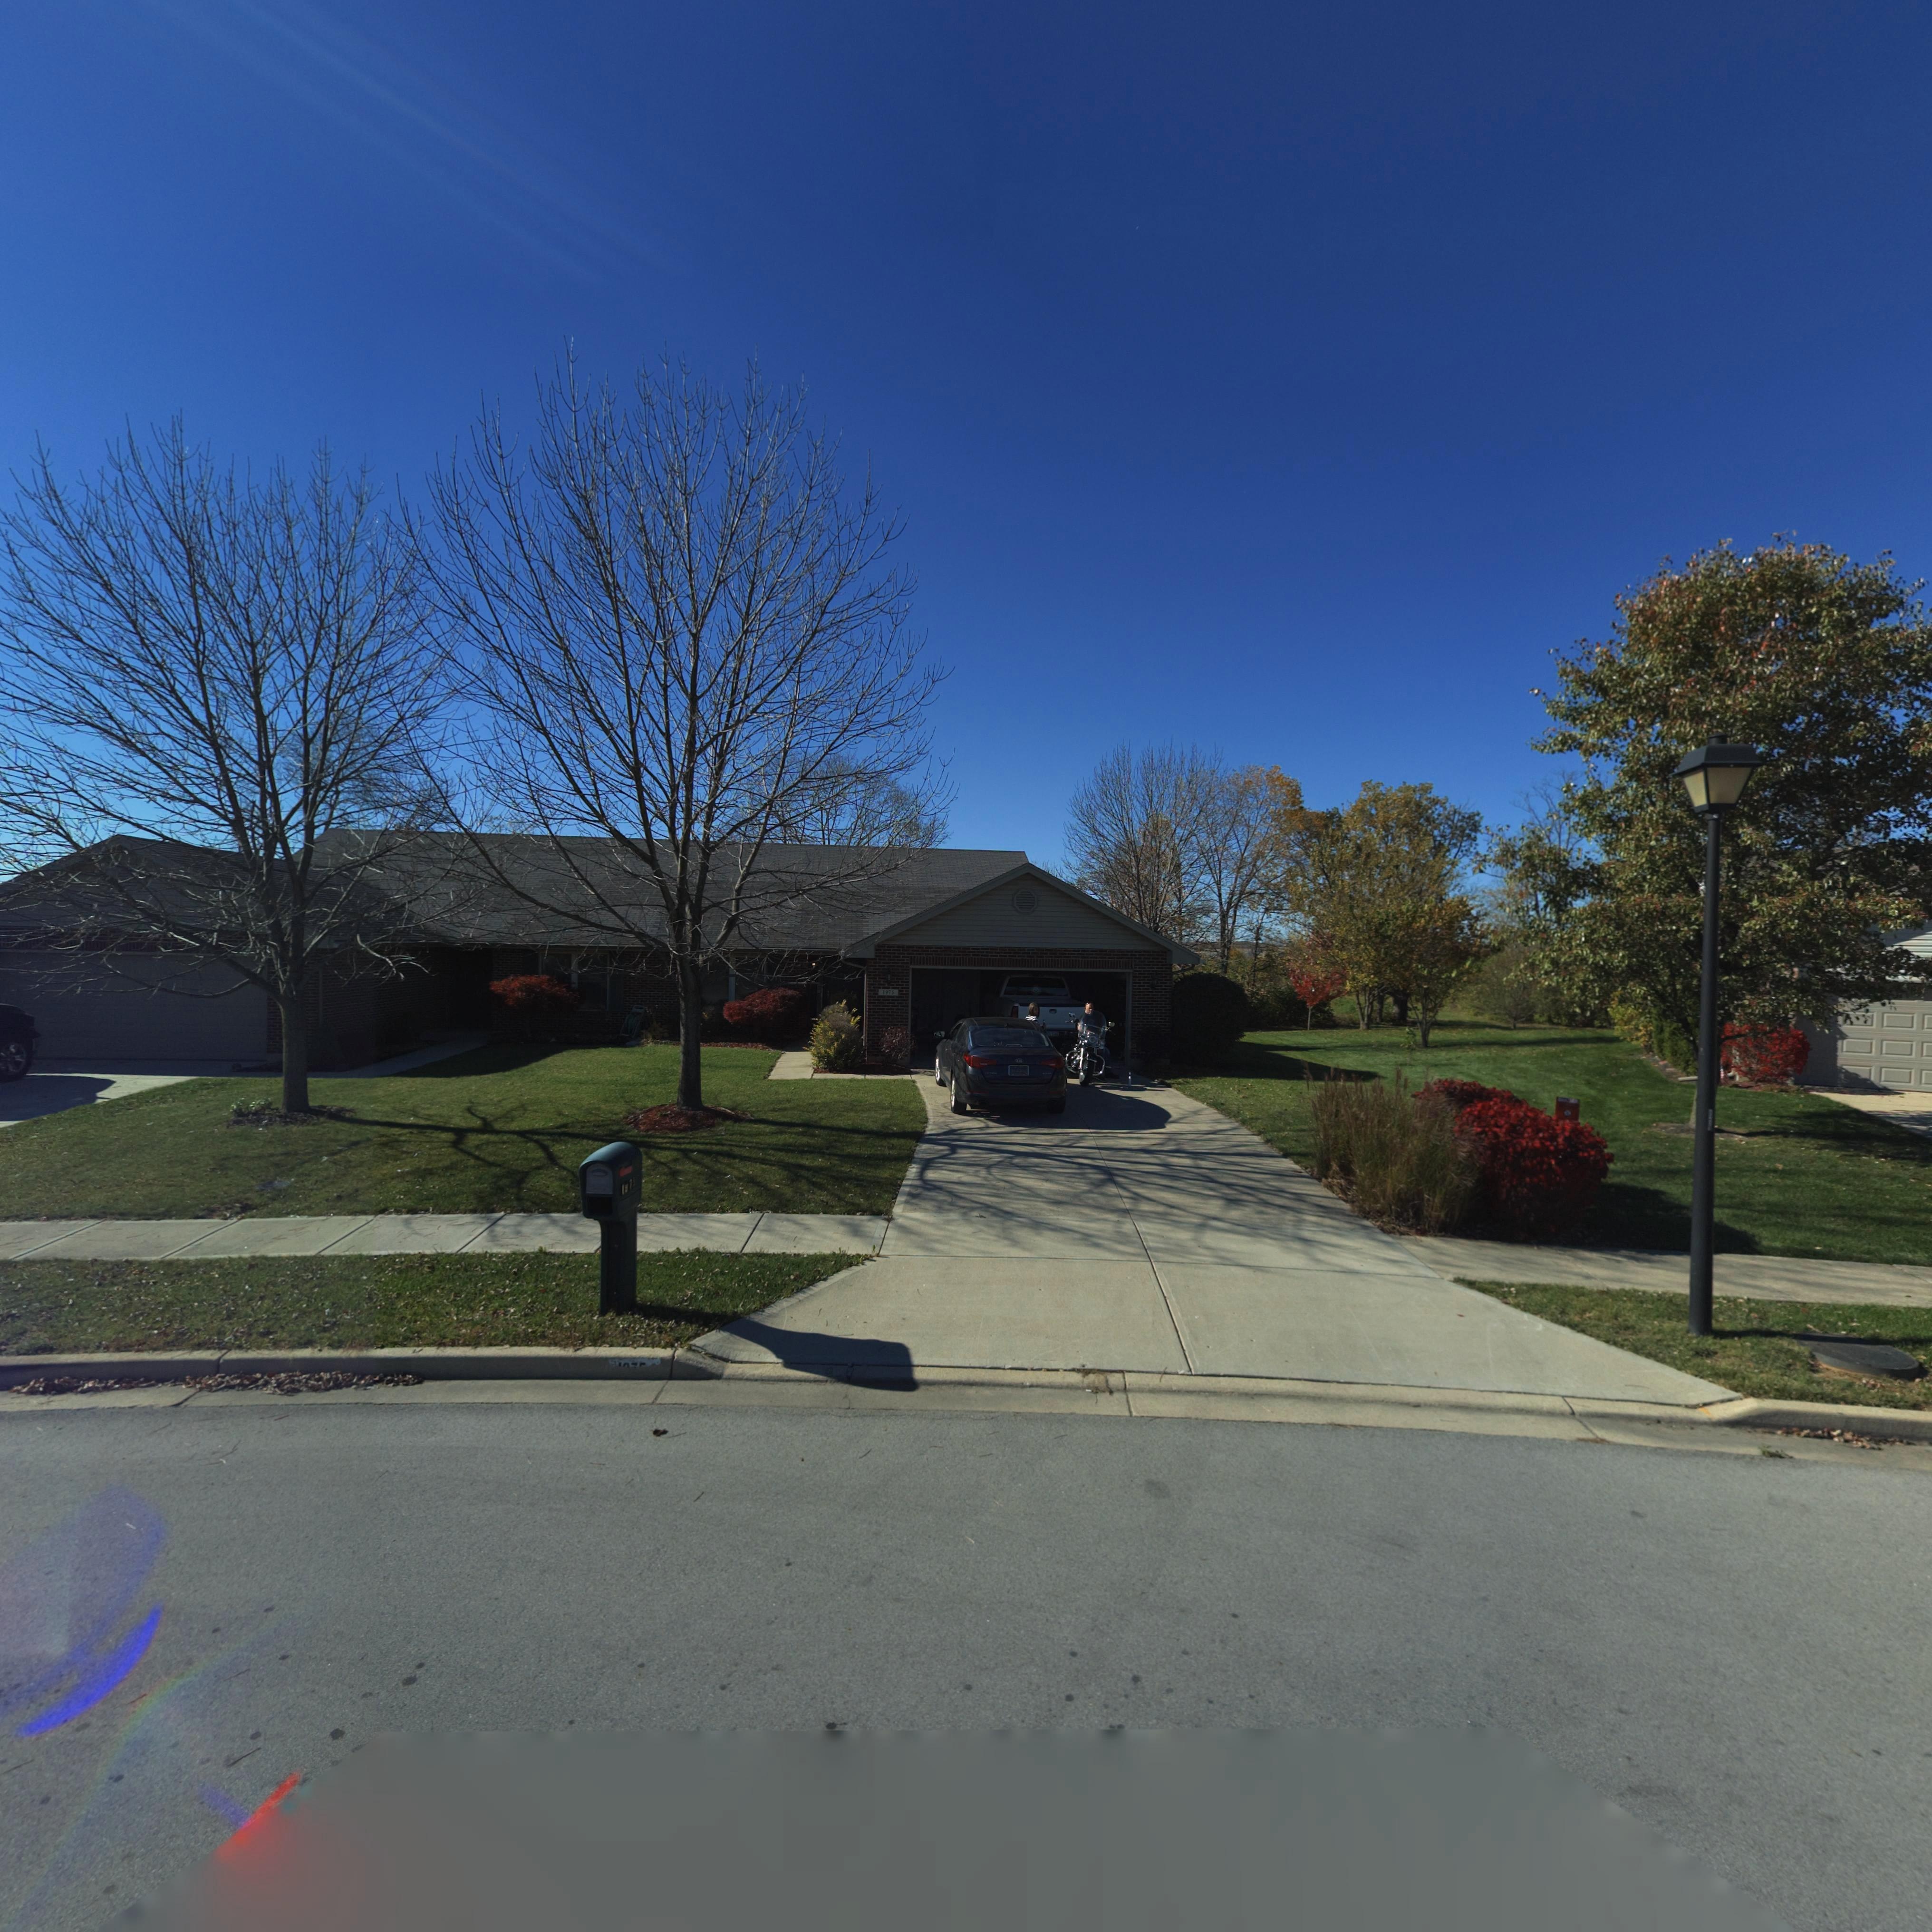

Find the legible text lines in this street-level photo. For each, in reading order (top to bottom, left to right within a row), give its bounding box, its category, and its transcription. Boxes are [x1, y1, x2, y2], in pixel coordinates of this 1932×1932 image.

[881, 989, 895, 995] StreetNumber: 1975
[620, 1175, 637, 1198] StreetNumber: 1*7*